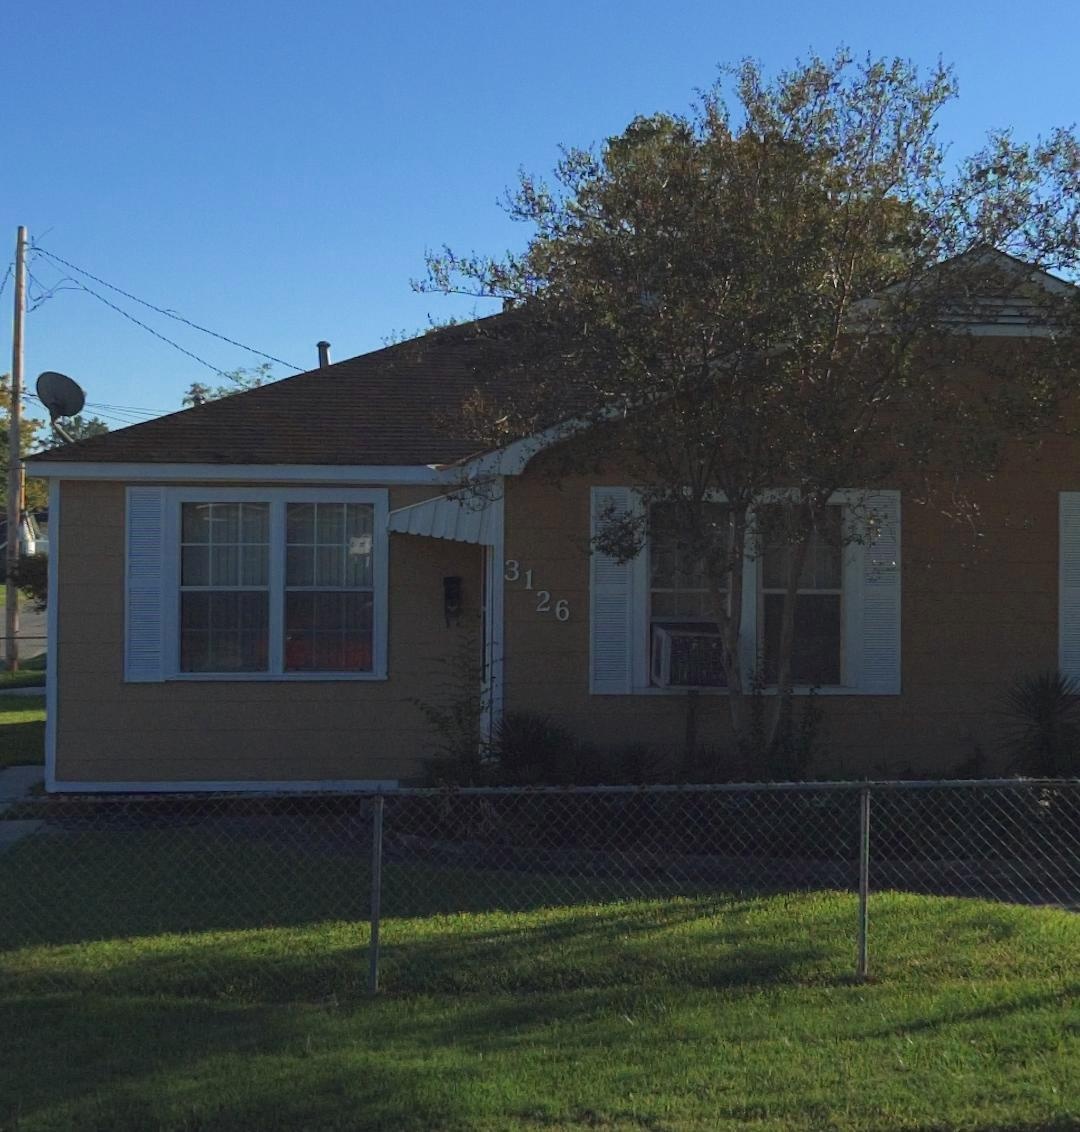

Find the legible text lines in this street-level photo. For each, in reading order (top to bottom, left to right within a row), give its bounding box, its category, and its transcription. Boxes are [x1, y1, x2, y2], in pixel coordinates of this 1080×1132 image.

[501, 557, 571, 628] StreetNumber: 3126